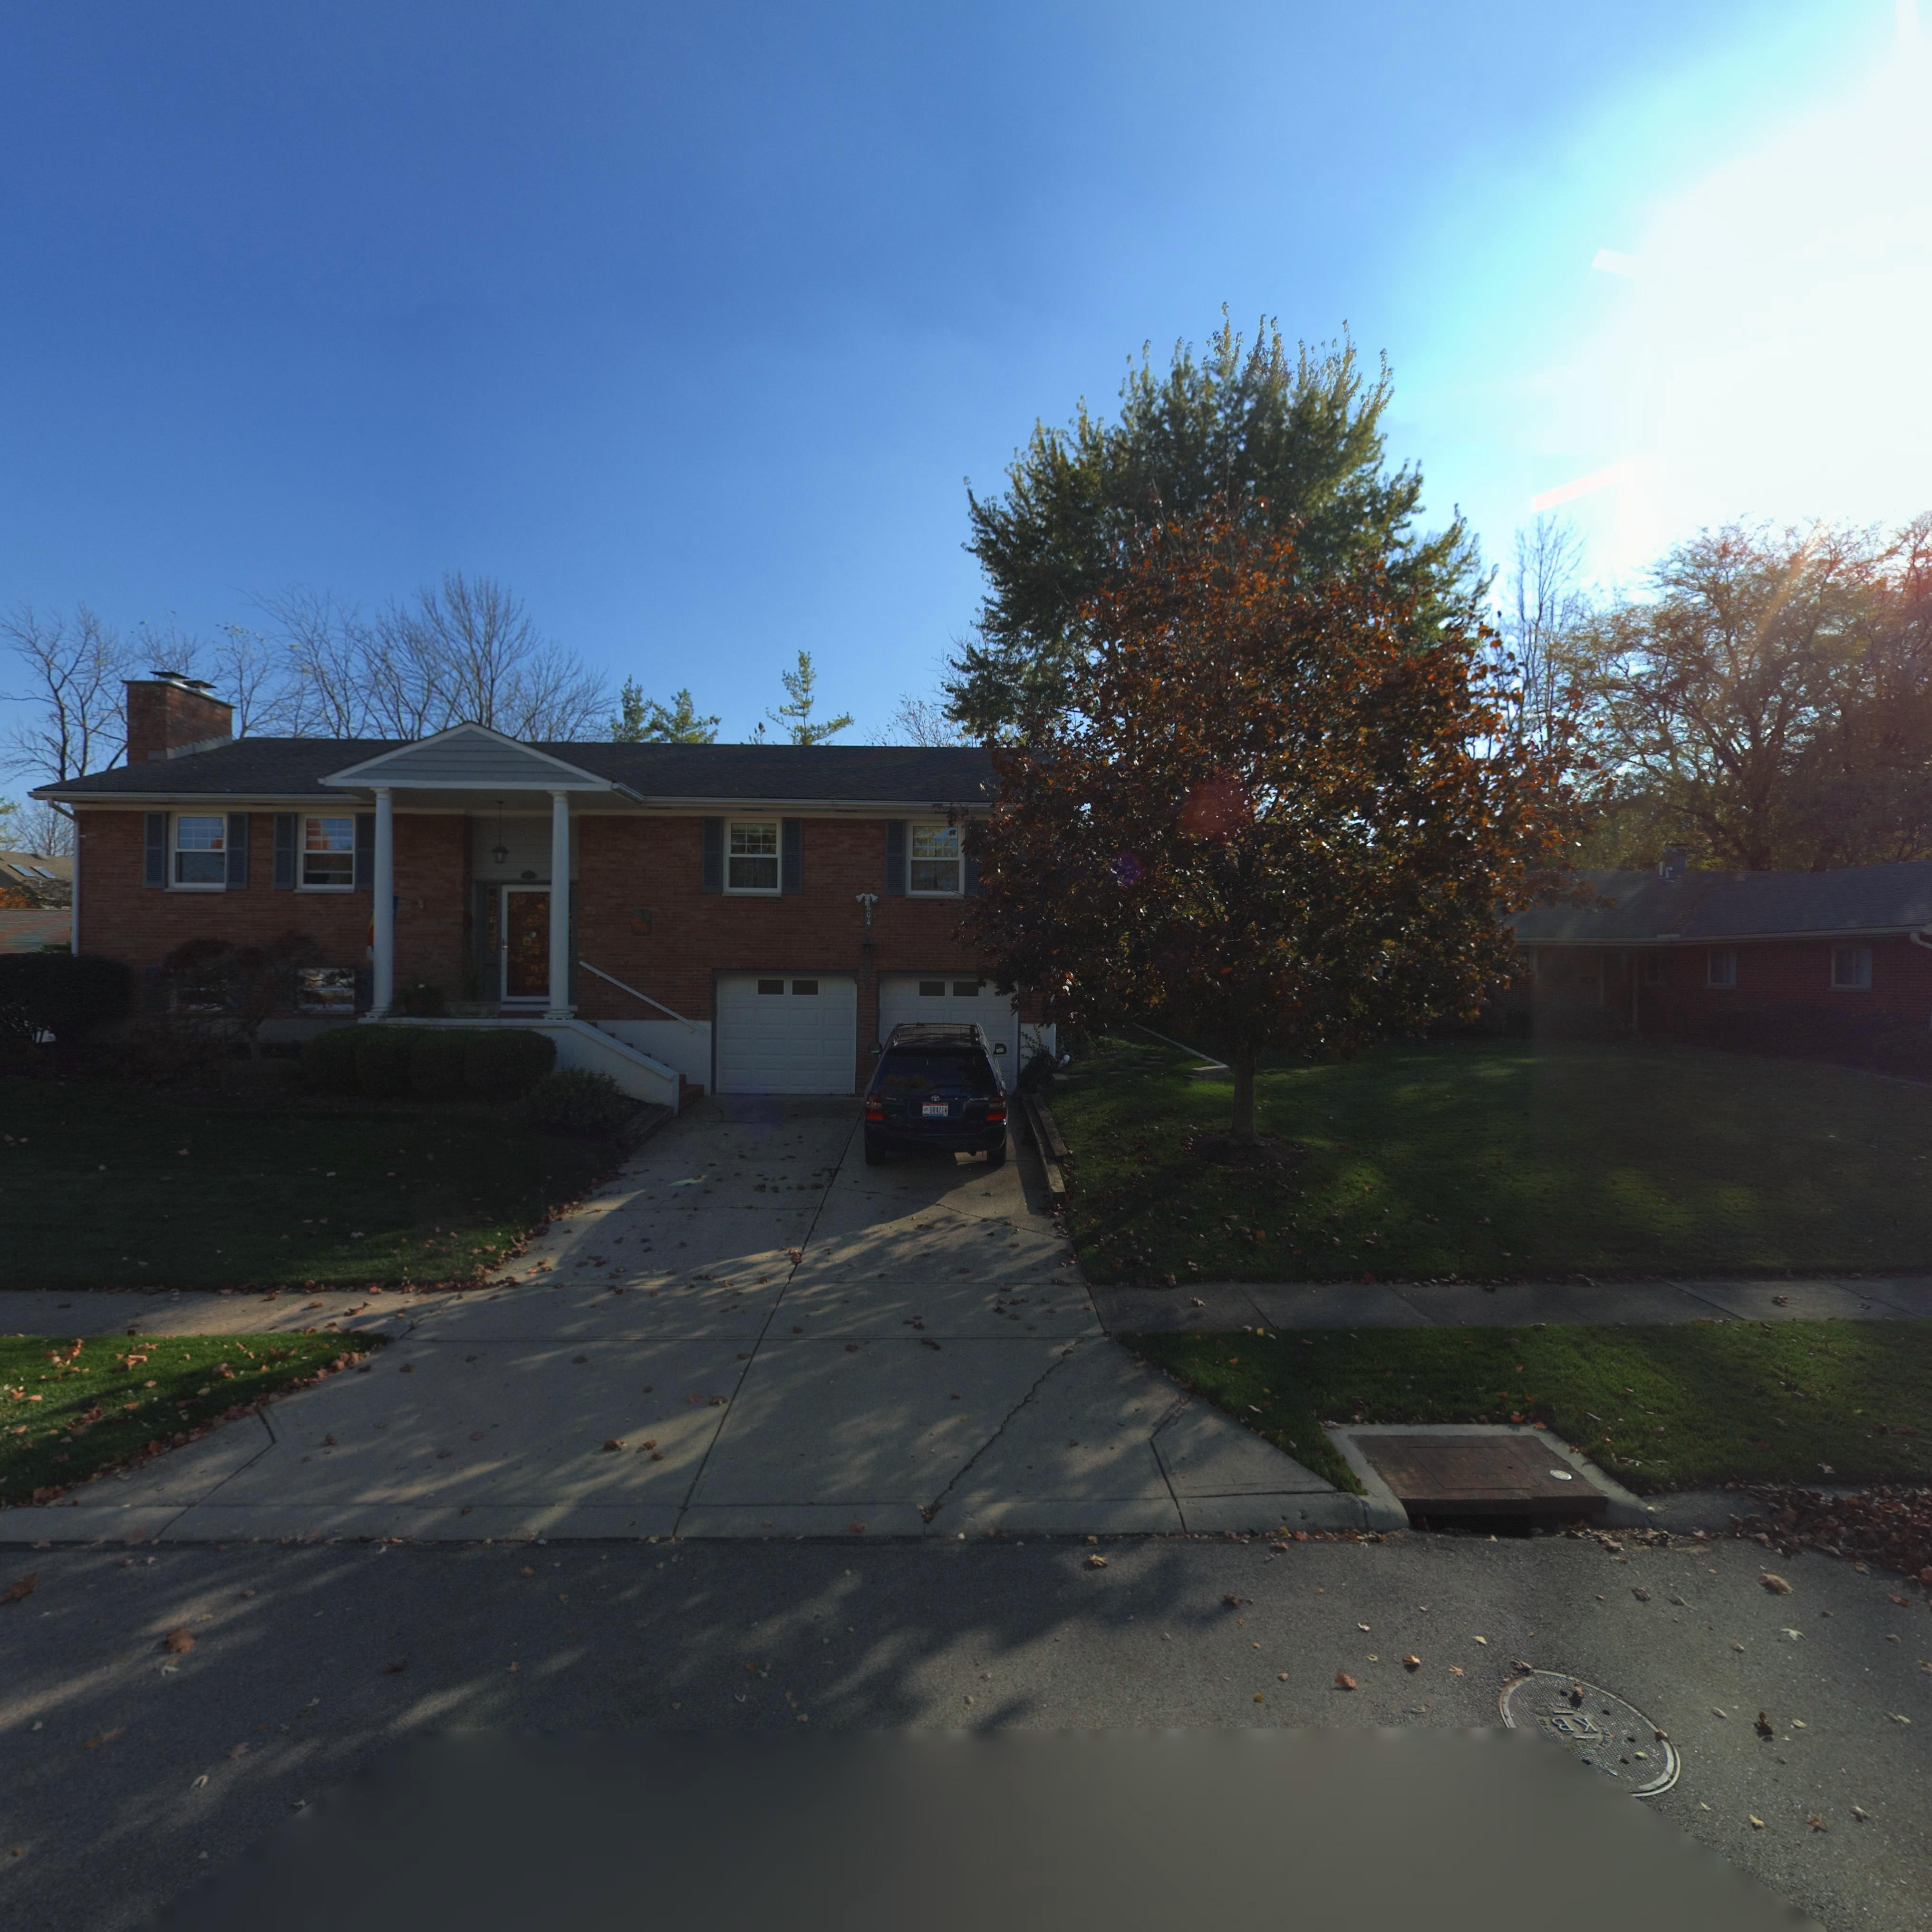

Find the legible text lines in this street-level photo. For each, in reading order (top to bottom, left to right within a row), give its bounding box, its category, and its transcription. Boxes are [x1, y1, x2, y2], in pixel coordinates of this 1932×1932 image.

[866, 911, 871, 926] StreetNumber: 04